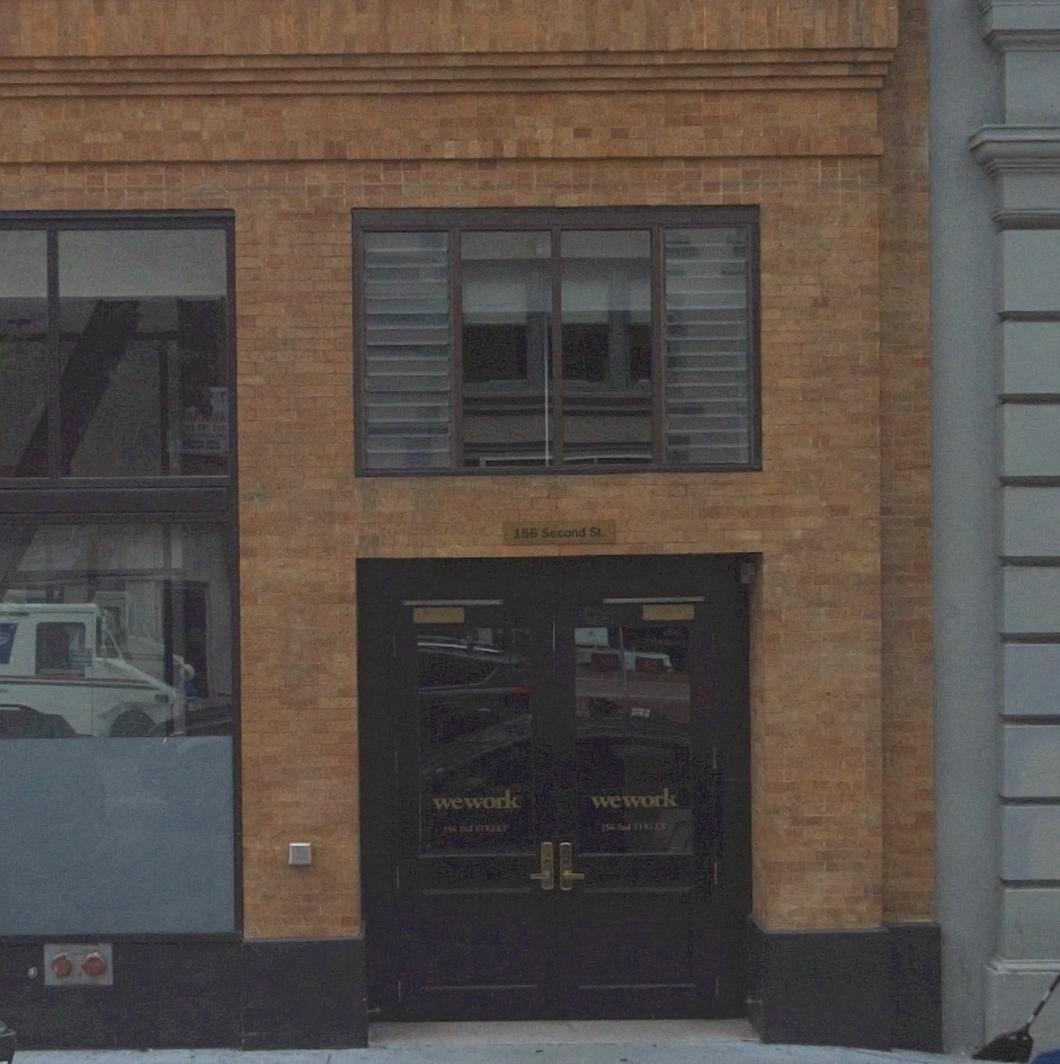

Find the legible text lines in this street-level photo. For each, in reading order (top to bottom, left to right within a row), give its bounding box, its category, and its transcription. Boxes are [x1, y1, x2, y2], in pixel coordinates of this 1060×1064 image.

[511, 526, 540, 540] StreetNumber: 156
[539, 525, 605, 540] StreetName: Second St.
[428, 784, 526, 813] BusinessName: we work
[586, 784, 682, 812] BusinessName: we work